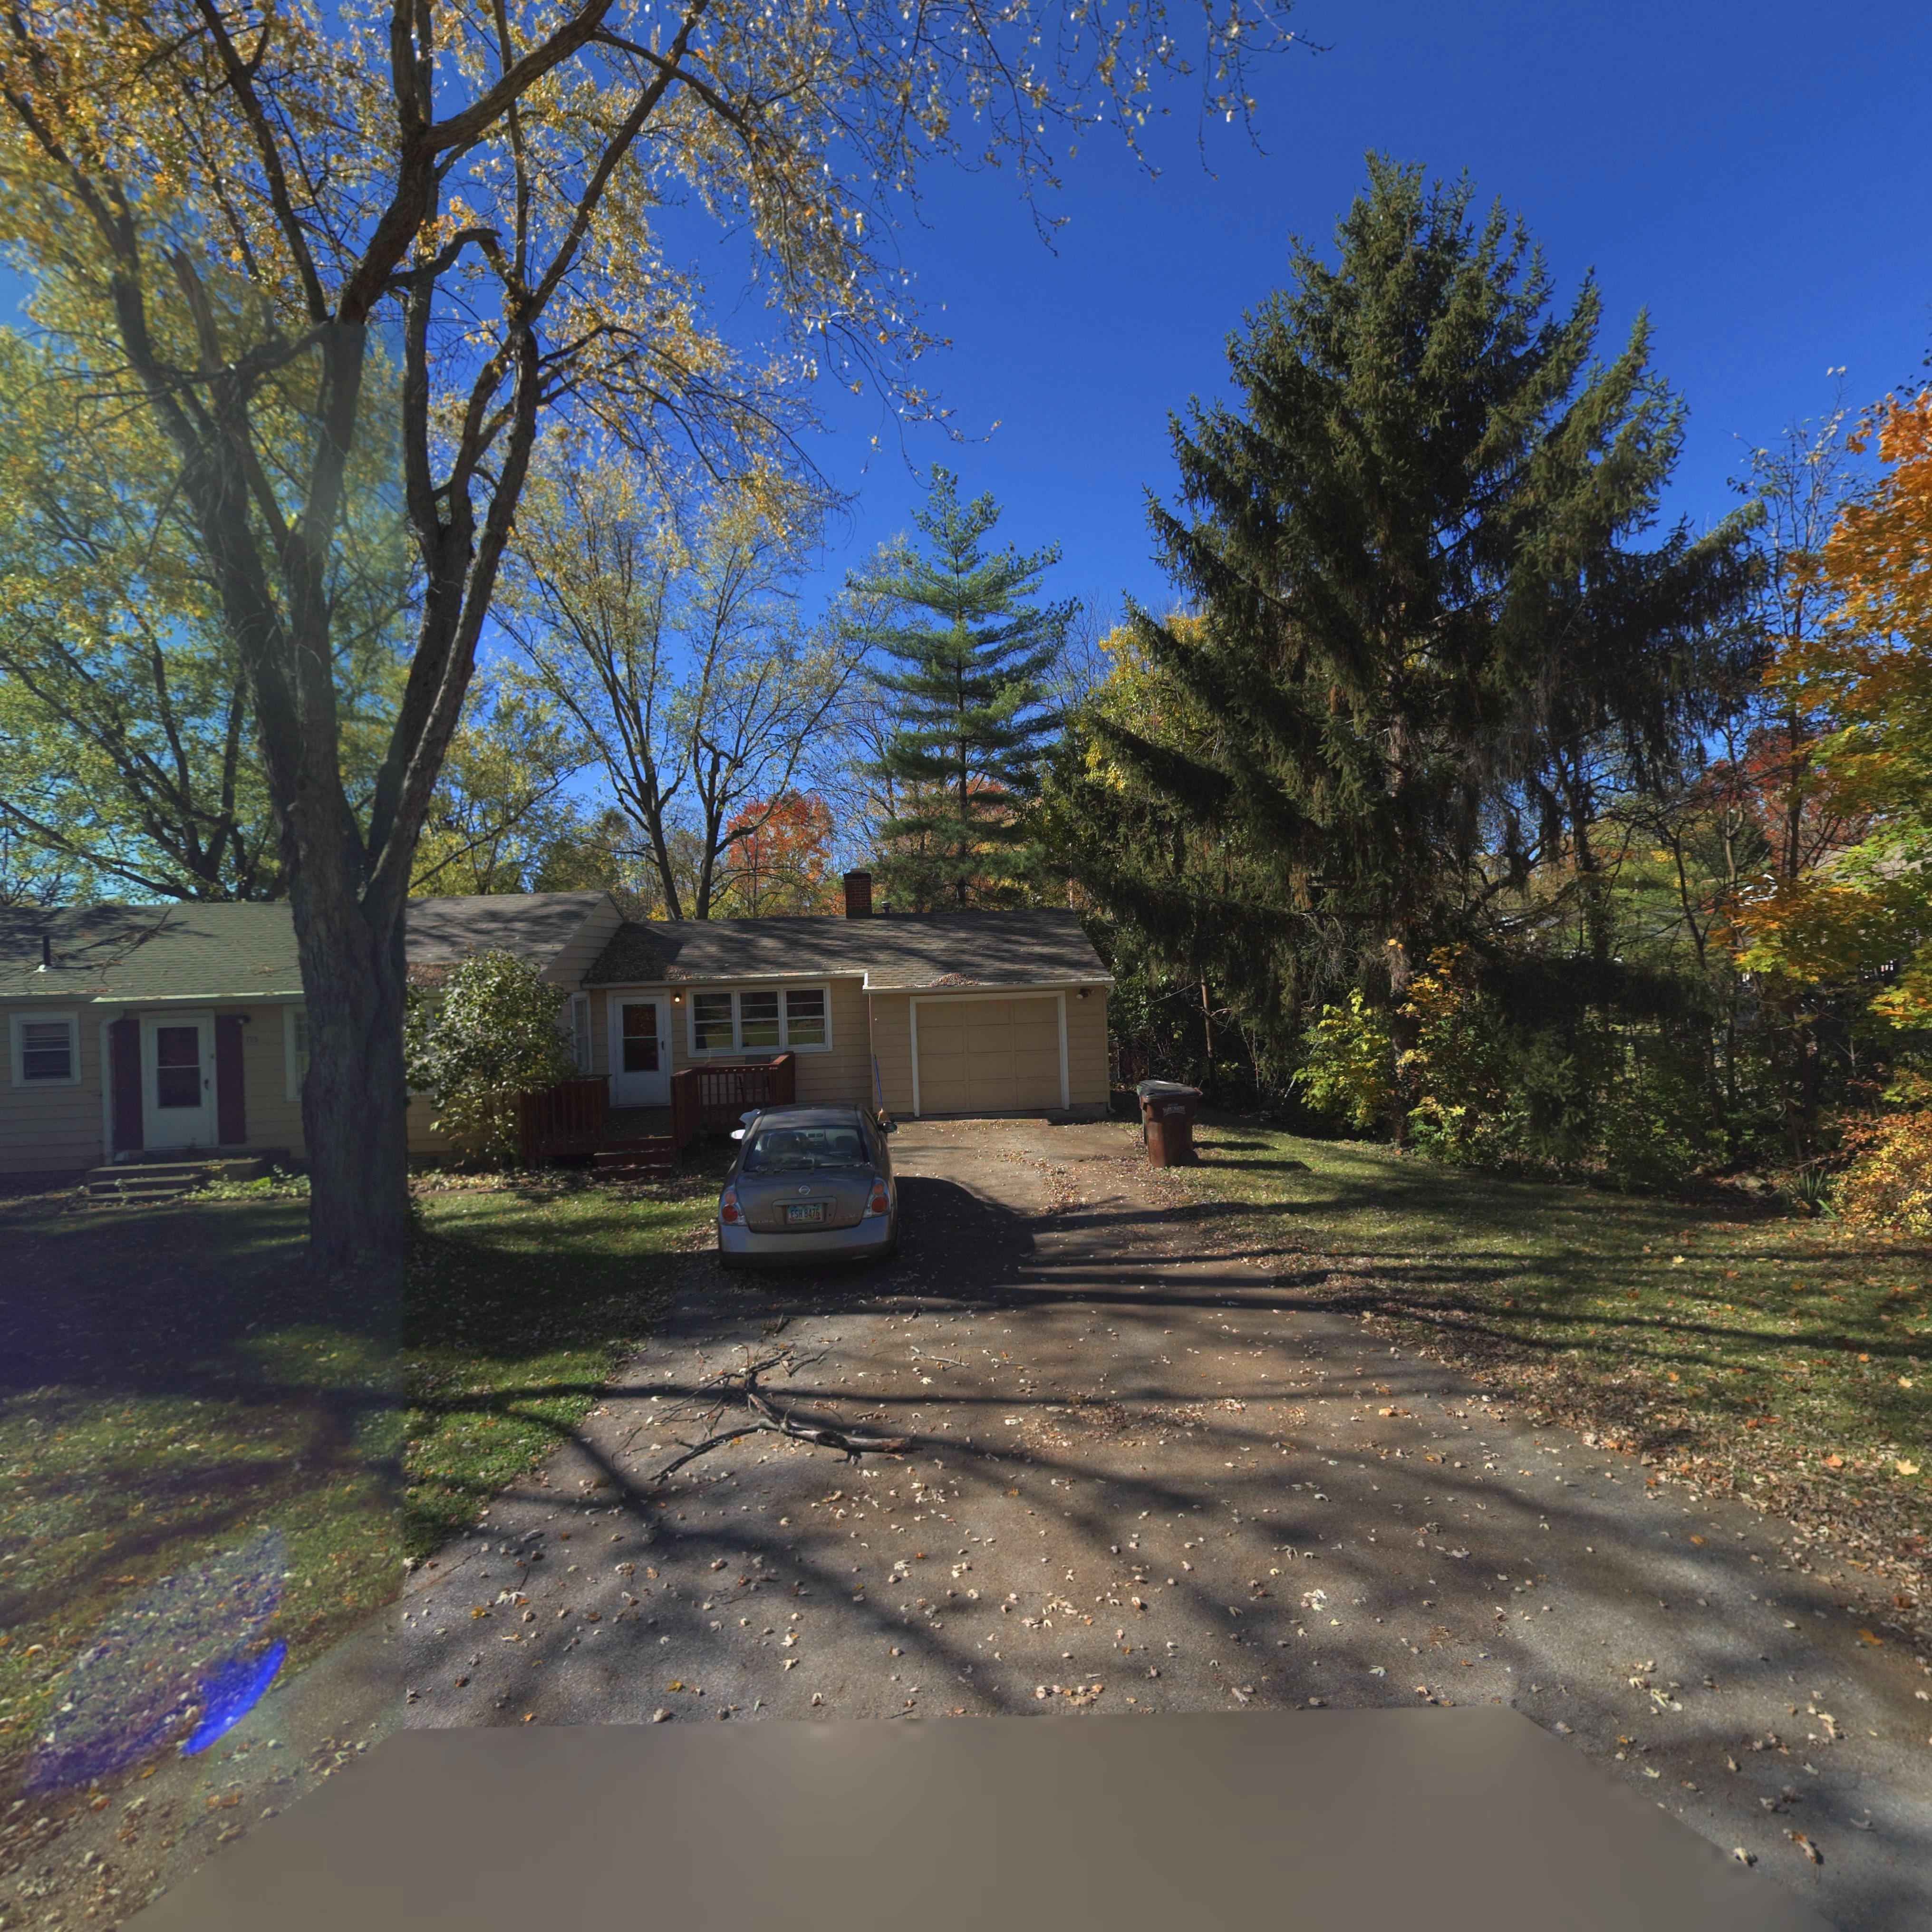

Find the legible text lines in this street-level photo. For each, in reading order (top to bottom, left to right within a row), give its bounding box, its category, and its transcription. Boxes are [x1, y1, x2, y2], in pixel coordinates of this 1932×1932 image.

[244, 1035, 259, 1043] StreetNumber: 715